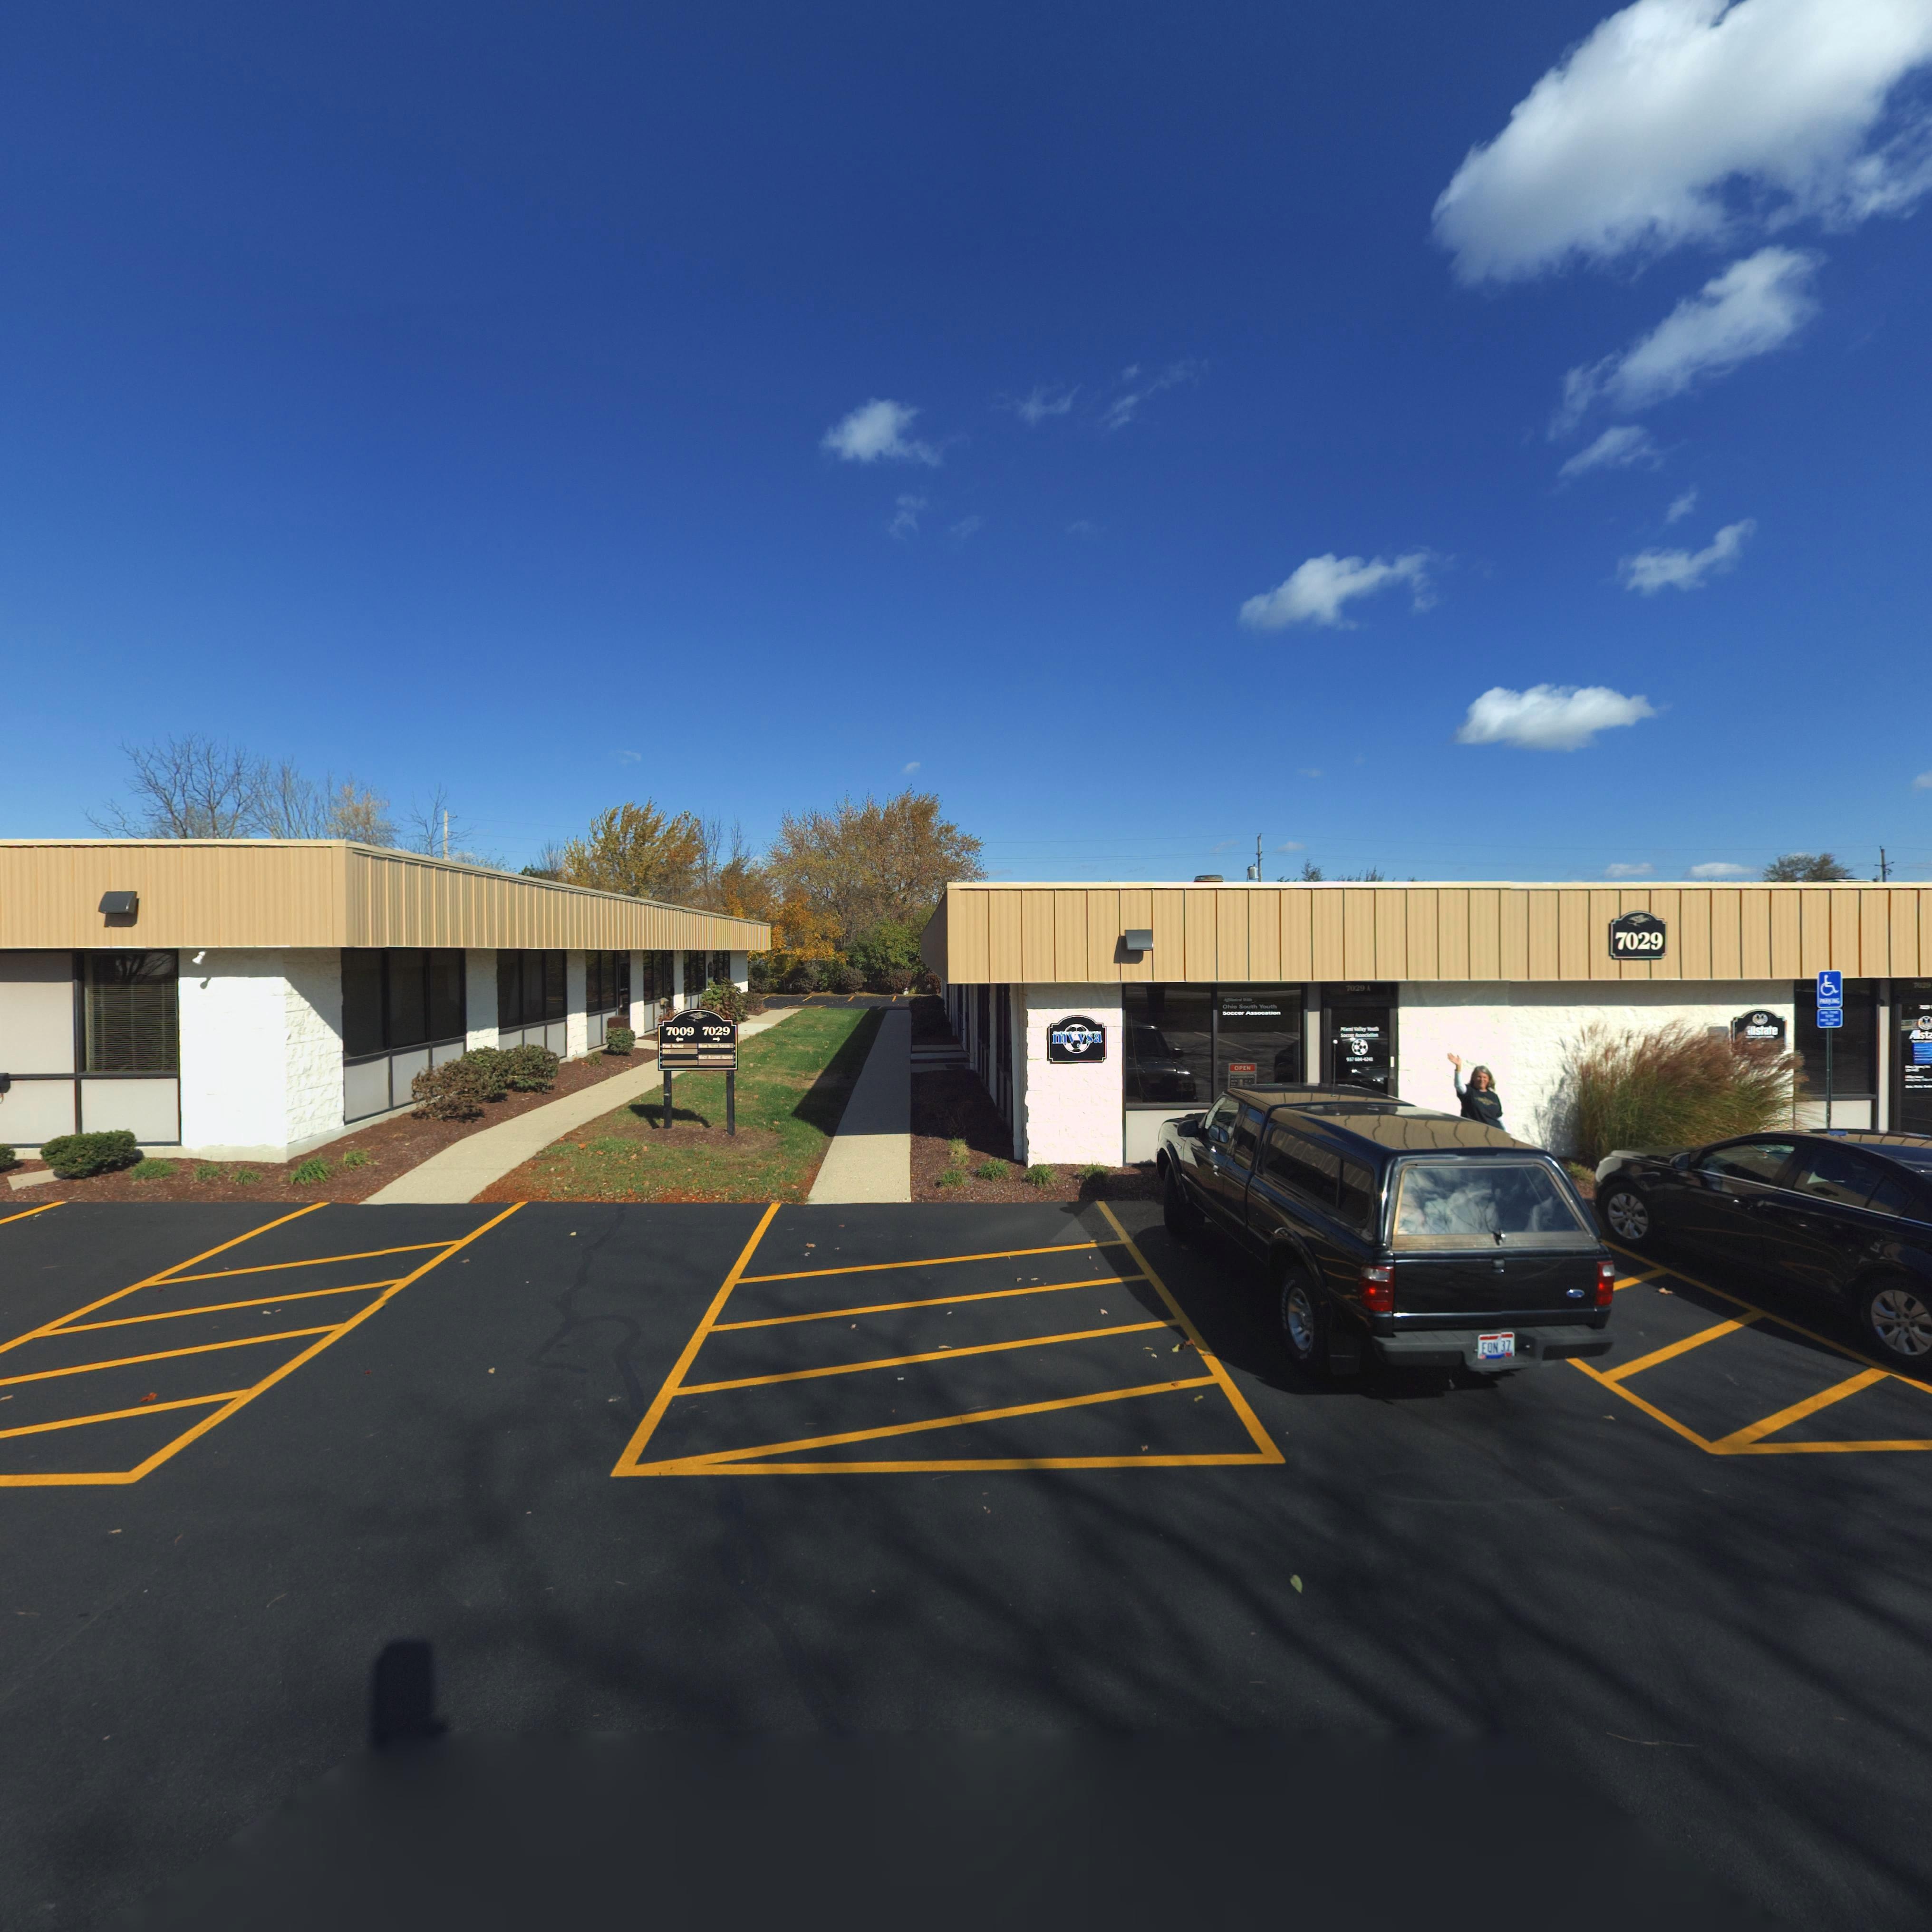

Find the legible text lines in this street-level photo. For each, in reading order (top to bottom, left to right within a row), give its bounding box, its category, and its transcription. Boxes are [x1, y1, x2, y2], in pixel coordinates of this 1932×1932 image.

[1613, 929, 1666, 953] StreetNumber: 7029
[1344, 984, 1372, 993] StreetNumber: 7029 *
[1911, 980, 1932, 991] StreetNumber: ***9
[665, 1025, 696, 1037] StreetNumber: 7009
[701, 1025, 732, 1038] StreetNumber: 7029